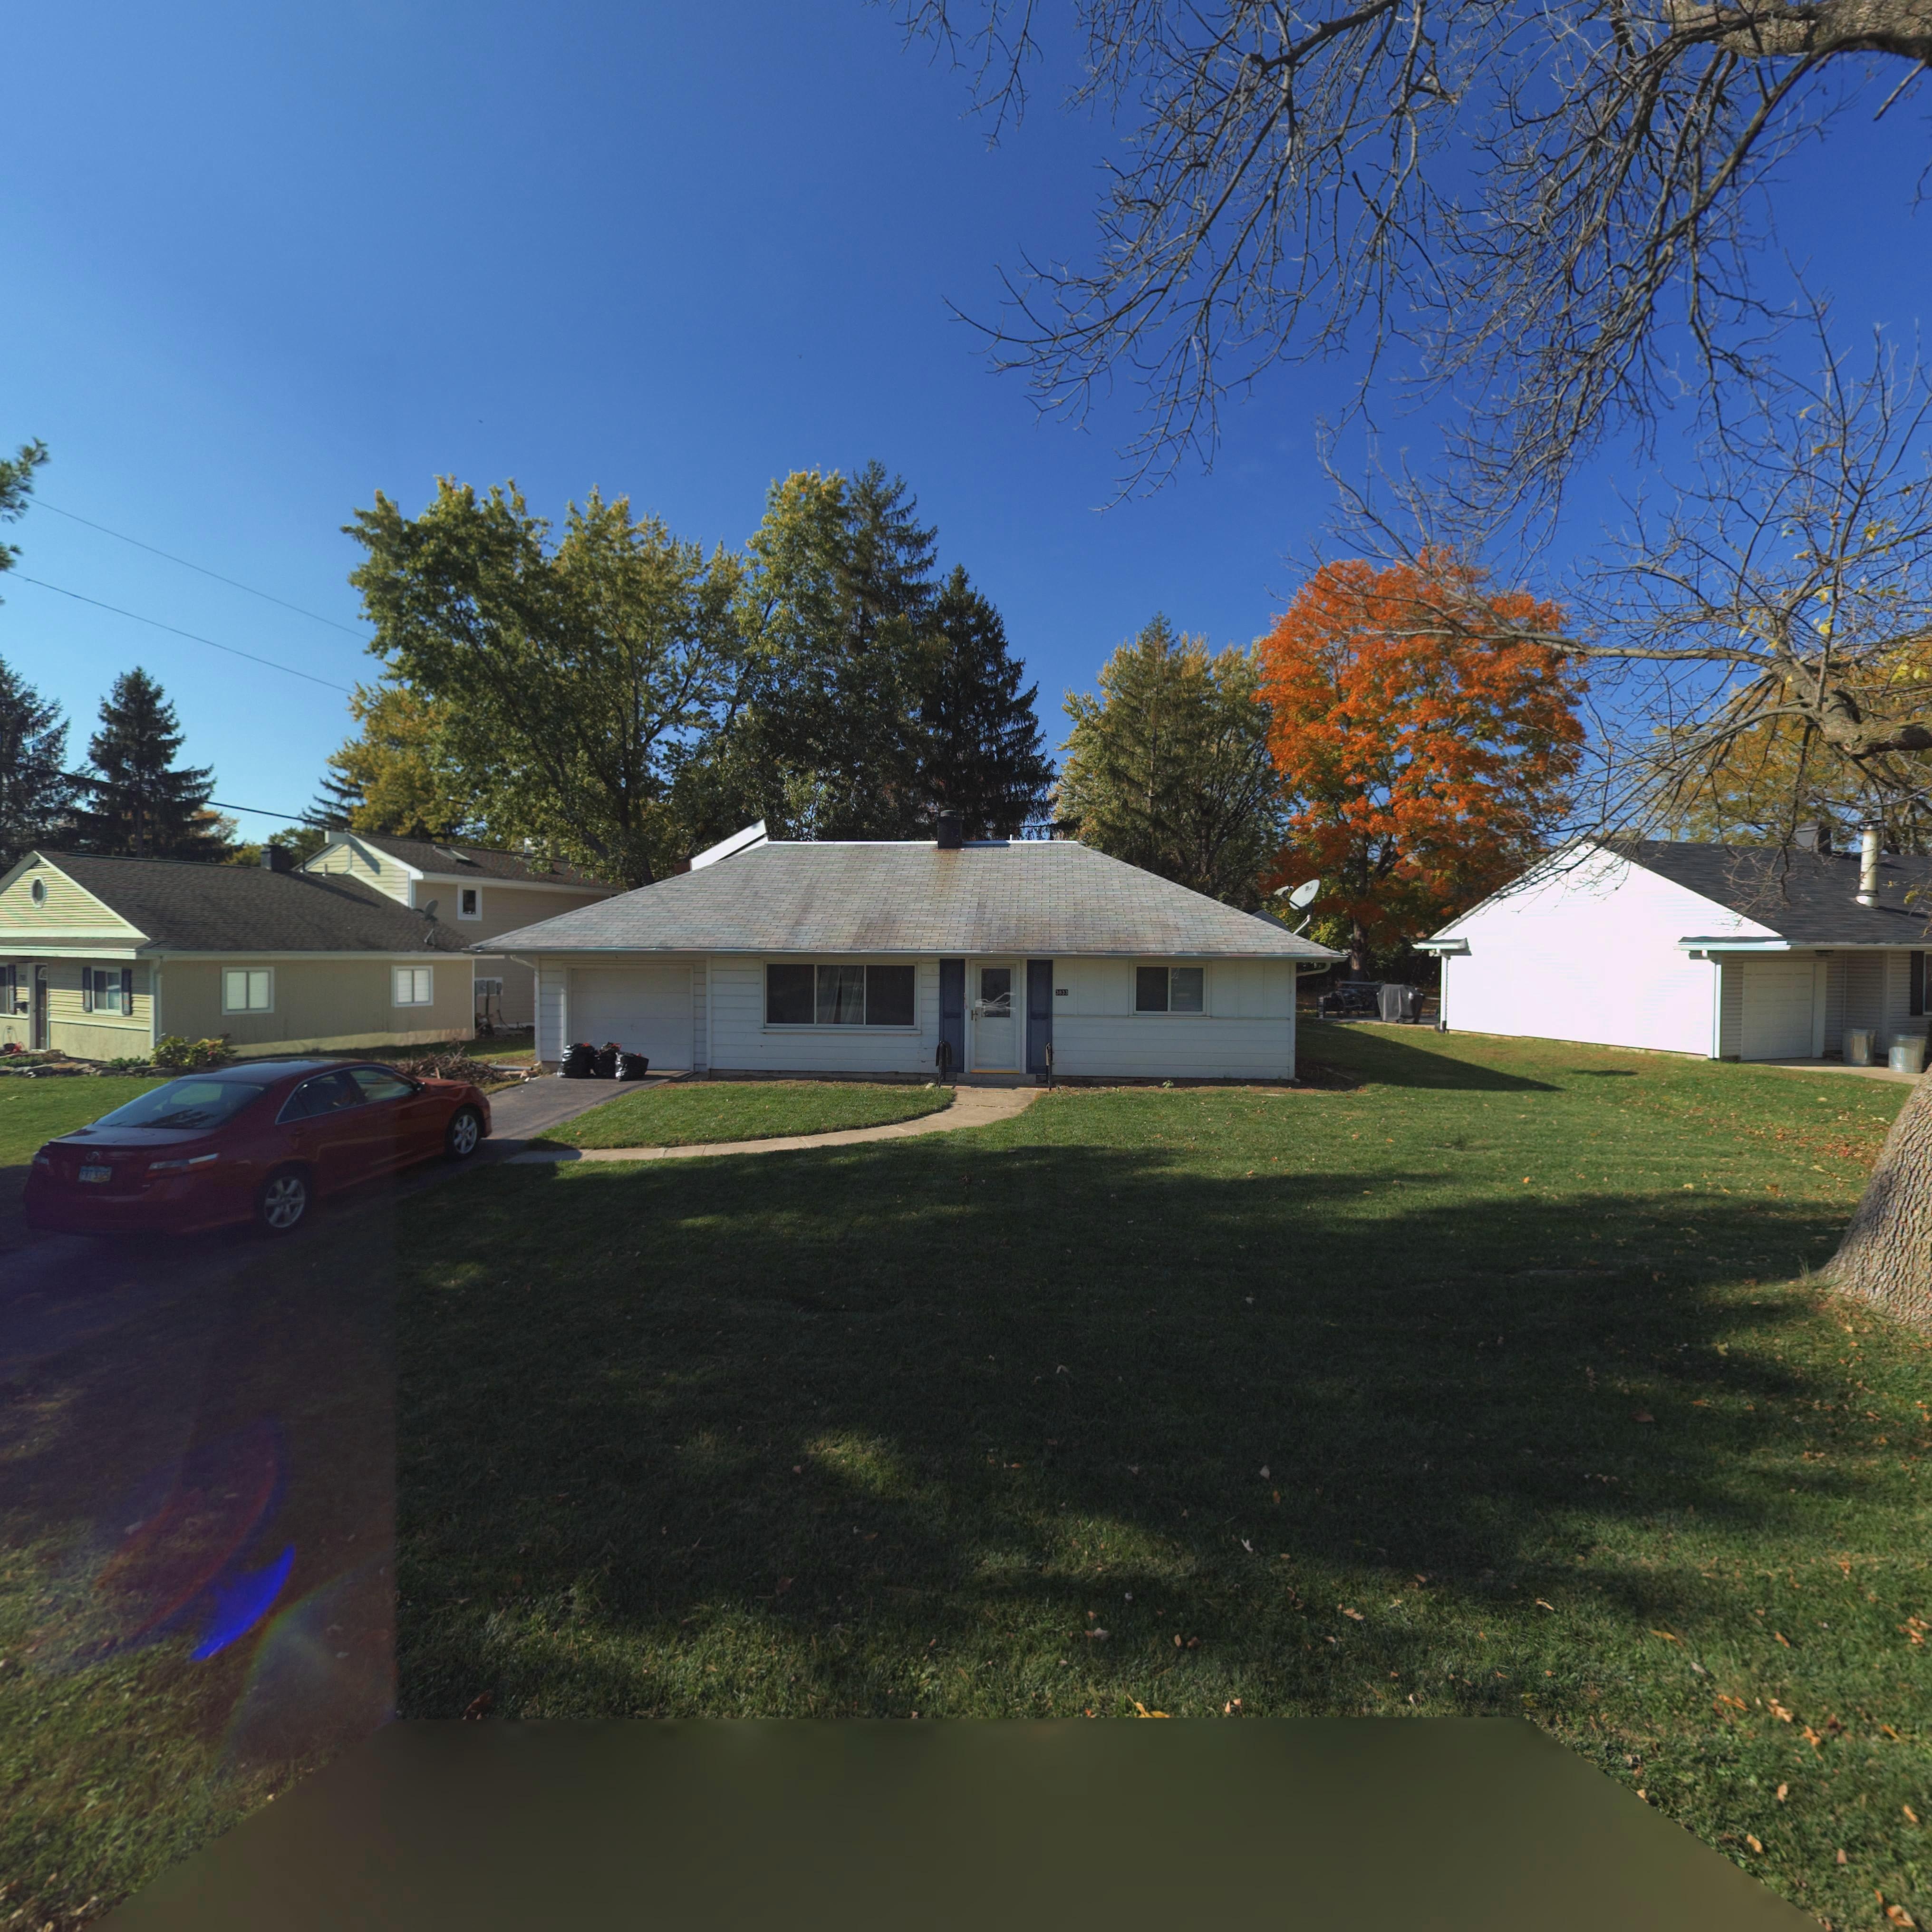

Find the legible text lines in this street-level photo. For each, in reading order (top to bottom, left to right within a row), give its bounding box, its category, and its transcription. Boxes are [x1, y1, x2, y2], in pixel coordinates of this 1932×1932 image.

[1055, 990, 1067, 995] StreetNumber: 3833